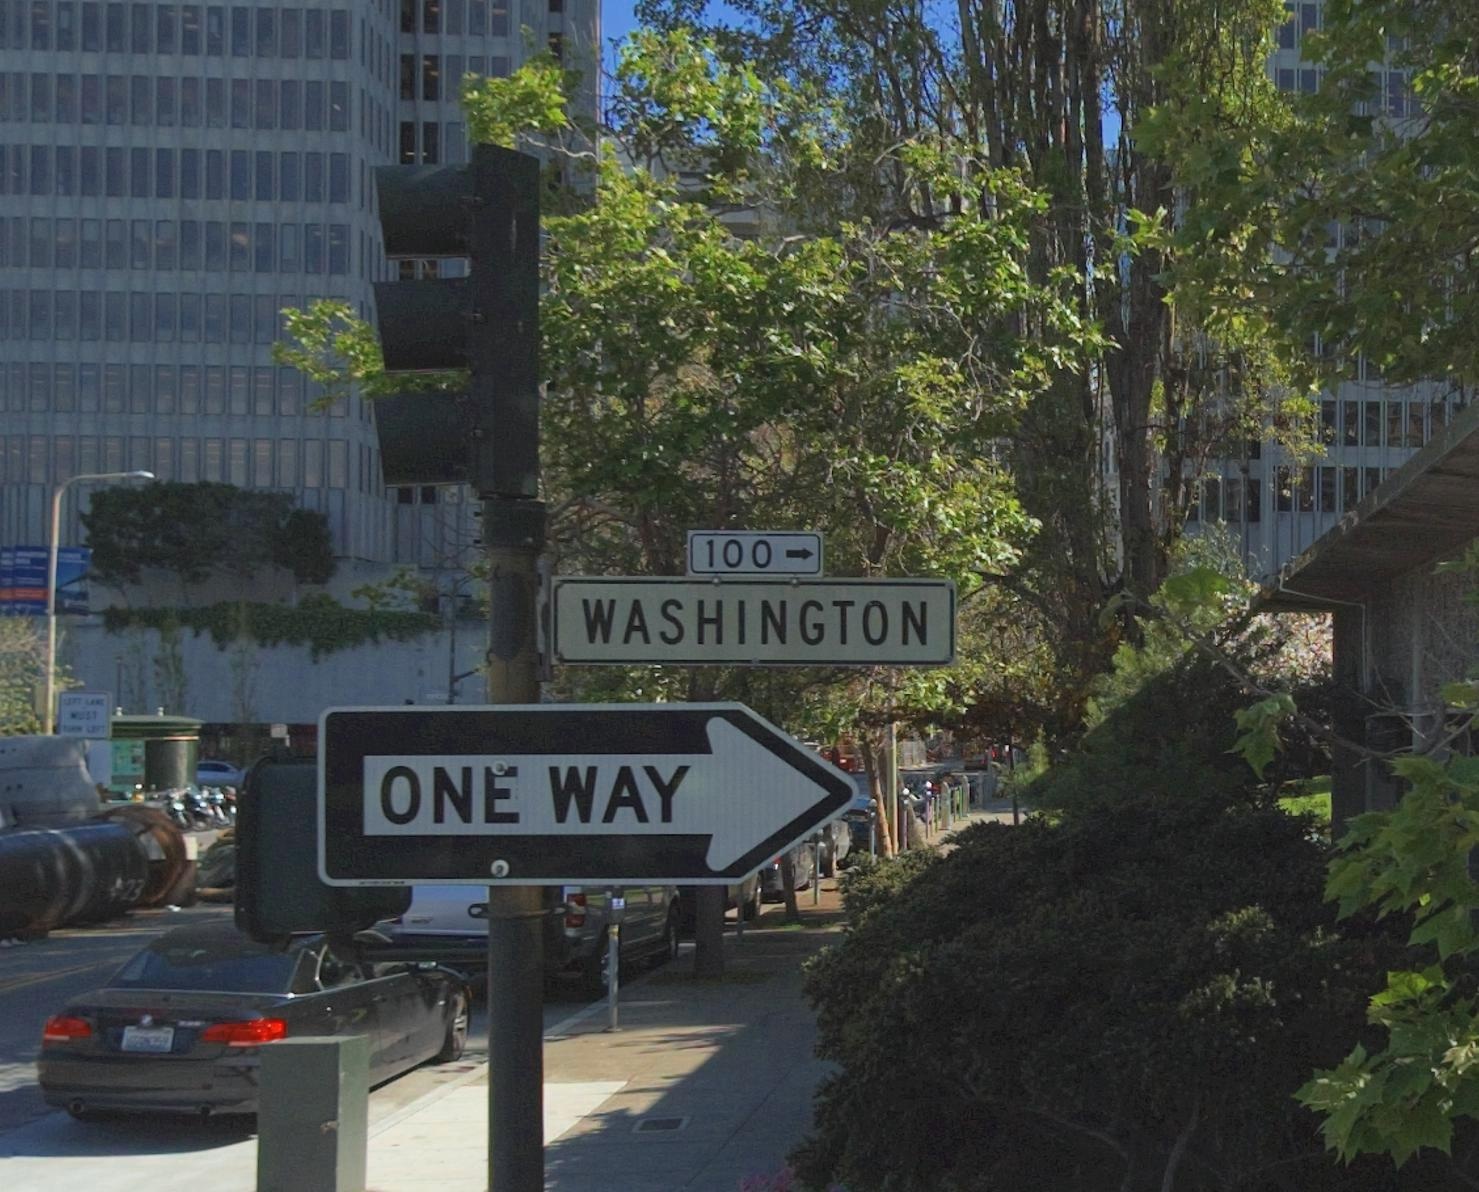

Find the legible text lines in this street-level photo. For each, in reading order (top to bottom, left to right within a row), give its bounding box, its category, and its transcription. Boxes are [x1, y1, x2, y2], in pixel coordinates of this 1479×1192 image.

[702, 536, 815, 571] StreetNumberRange: 100->
[577, 591, 931, 650] StreetName: WASHINGTON
[375, 758, 698, 830] None: ONE WAY